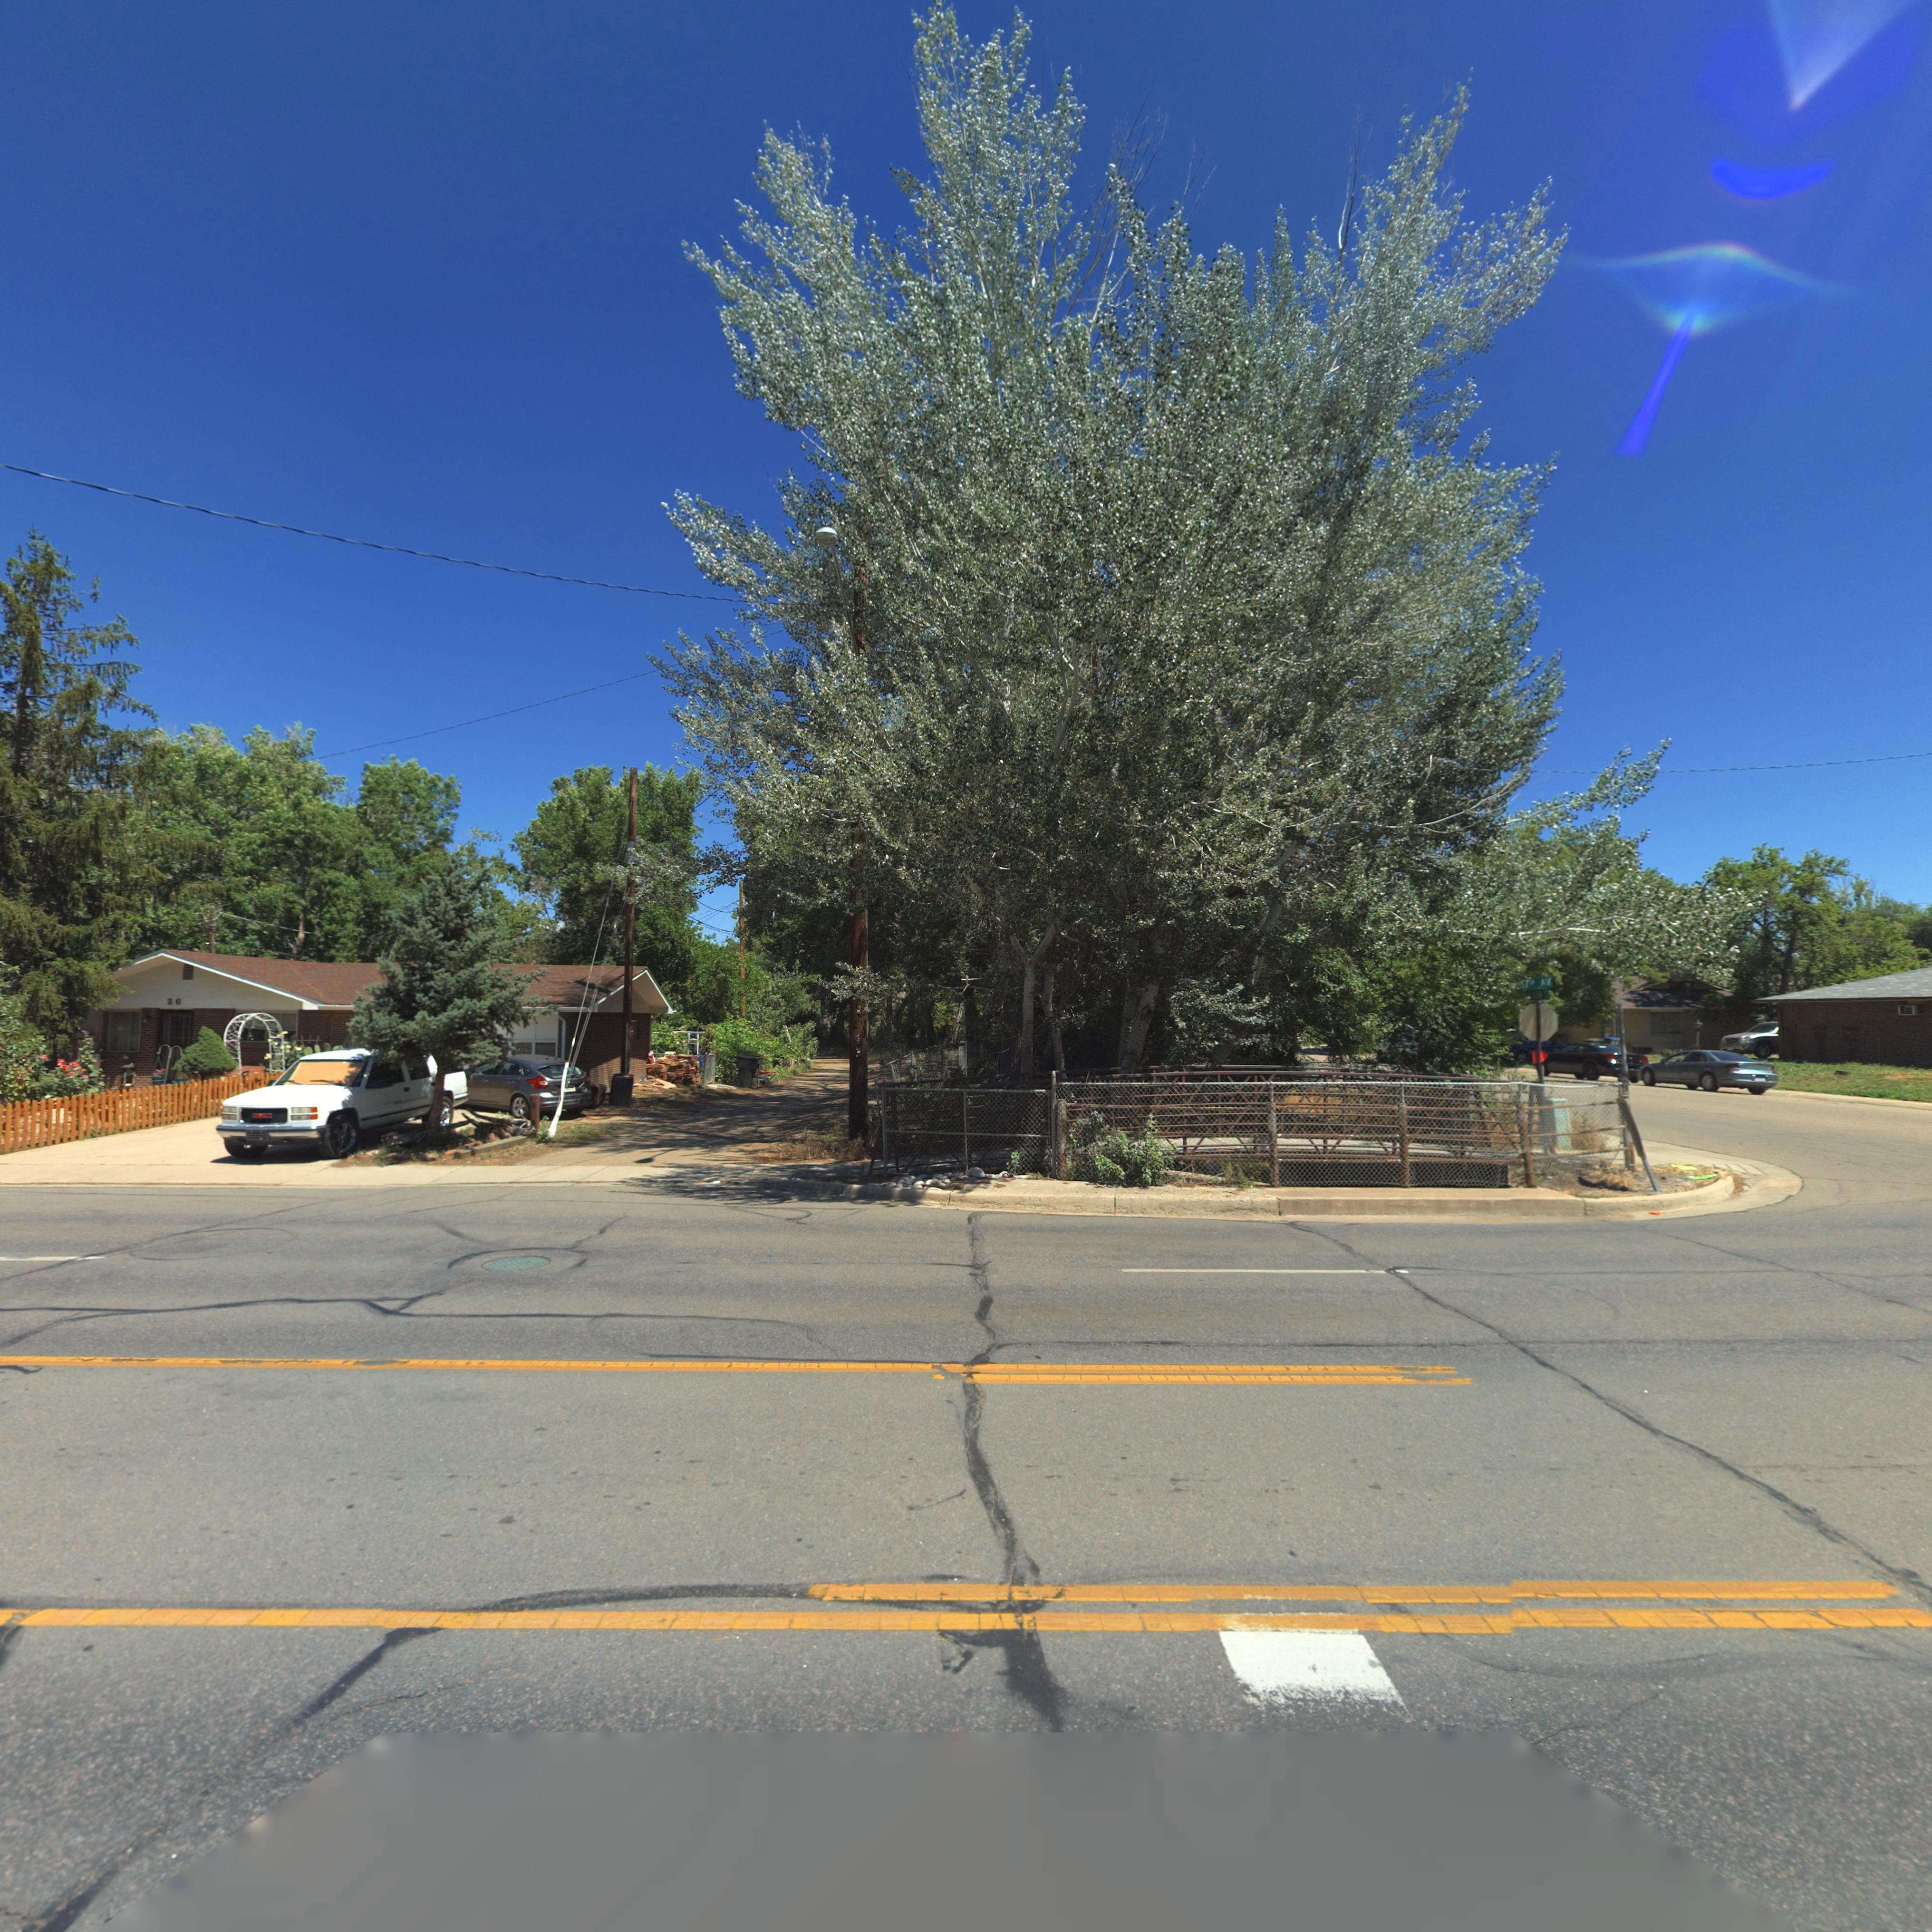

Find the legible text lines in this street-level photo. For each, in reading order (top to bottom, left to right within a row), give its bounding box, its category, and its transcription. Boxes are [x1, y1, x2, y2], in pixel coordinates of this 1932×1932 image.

[1521, 977, 1551, 988] StreetName: *7** AV
[1534, 989, 1549, 999] StreetName: *s** ST
[167, 998, 181, 1005] StreetNumber: 26